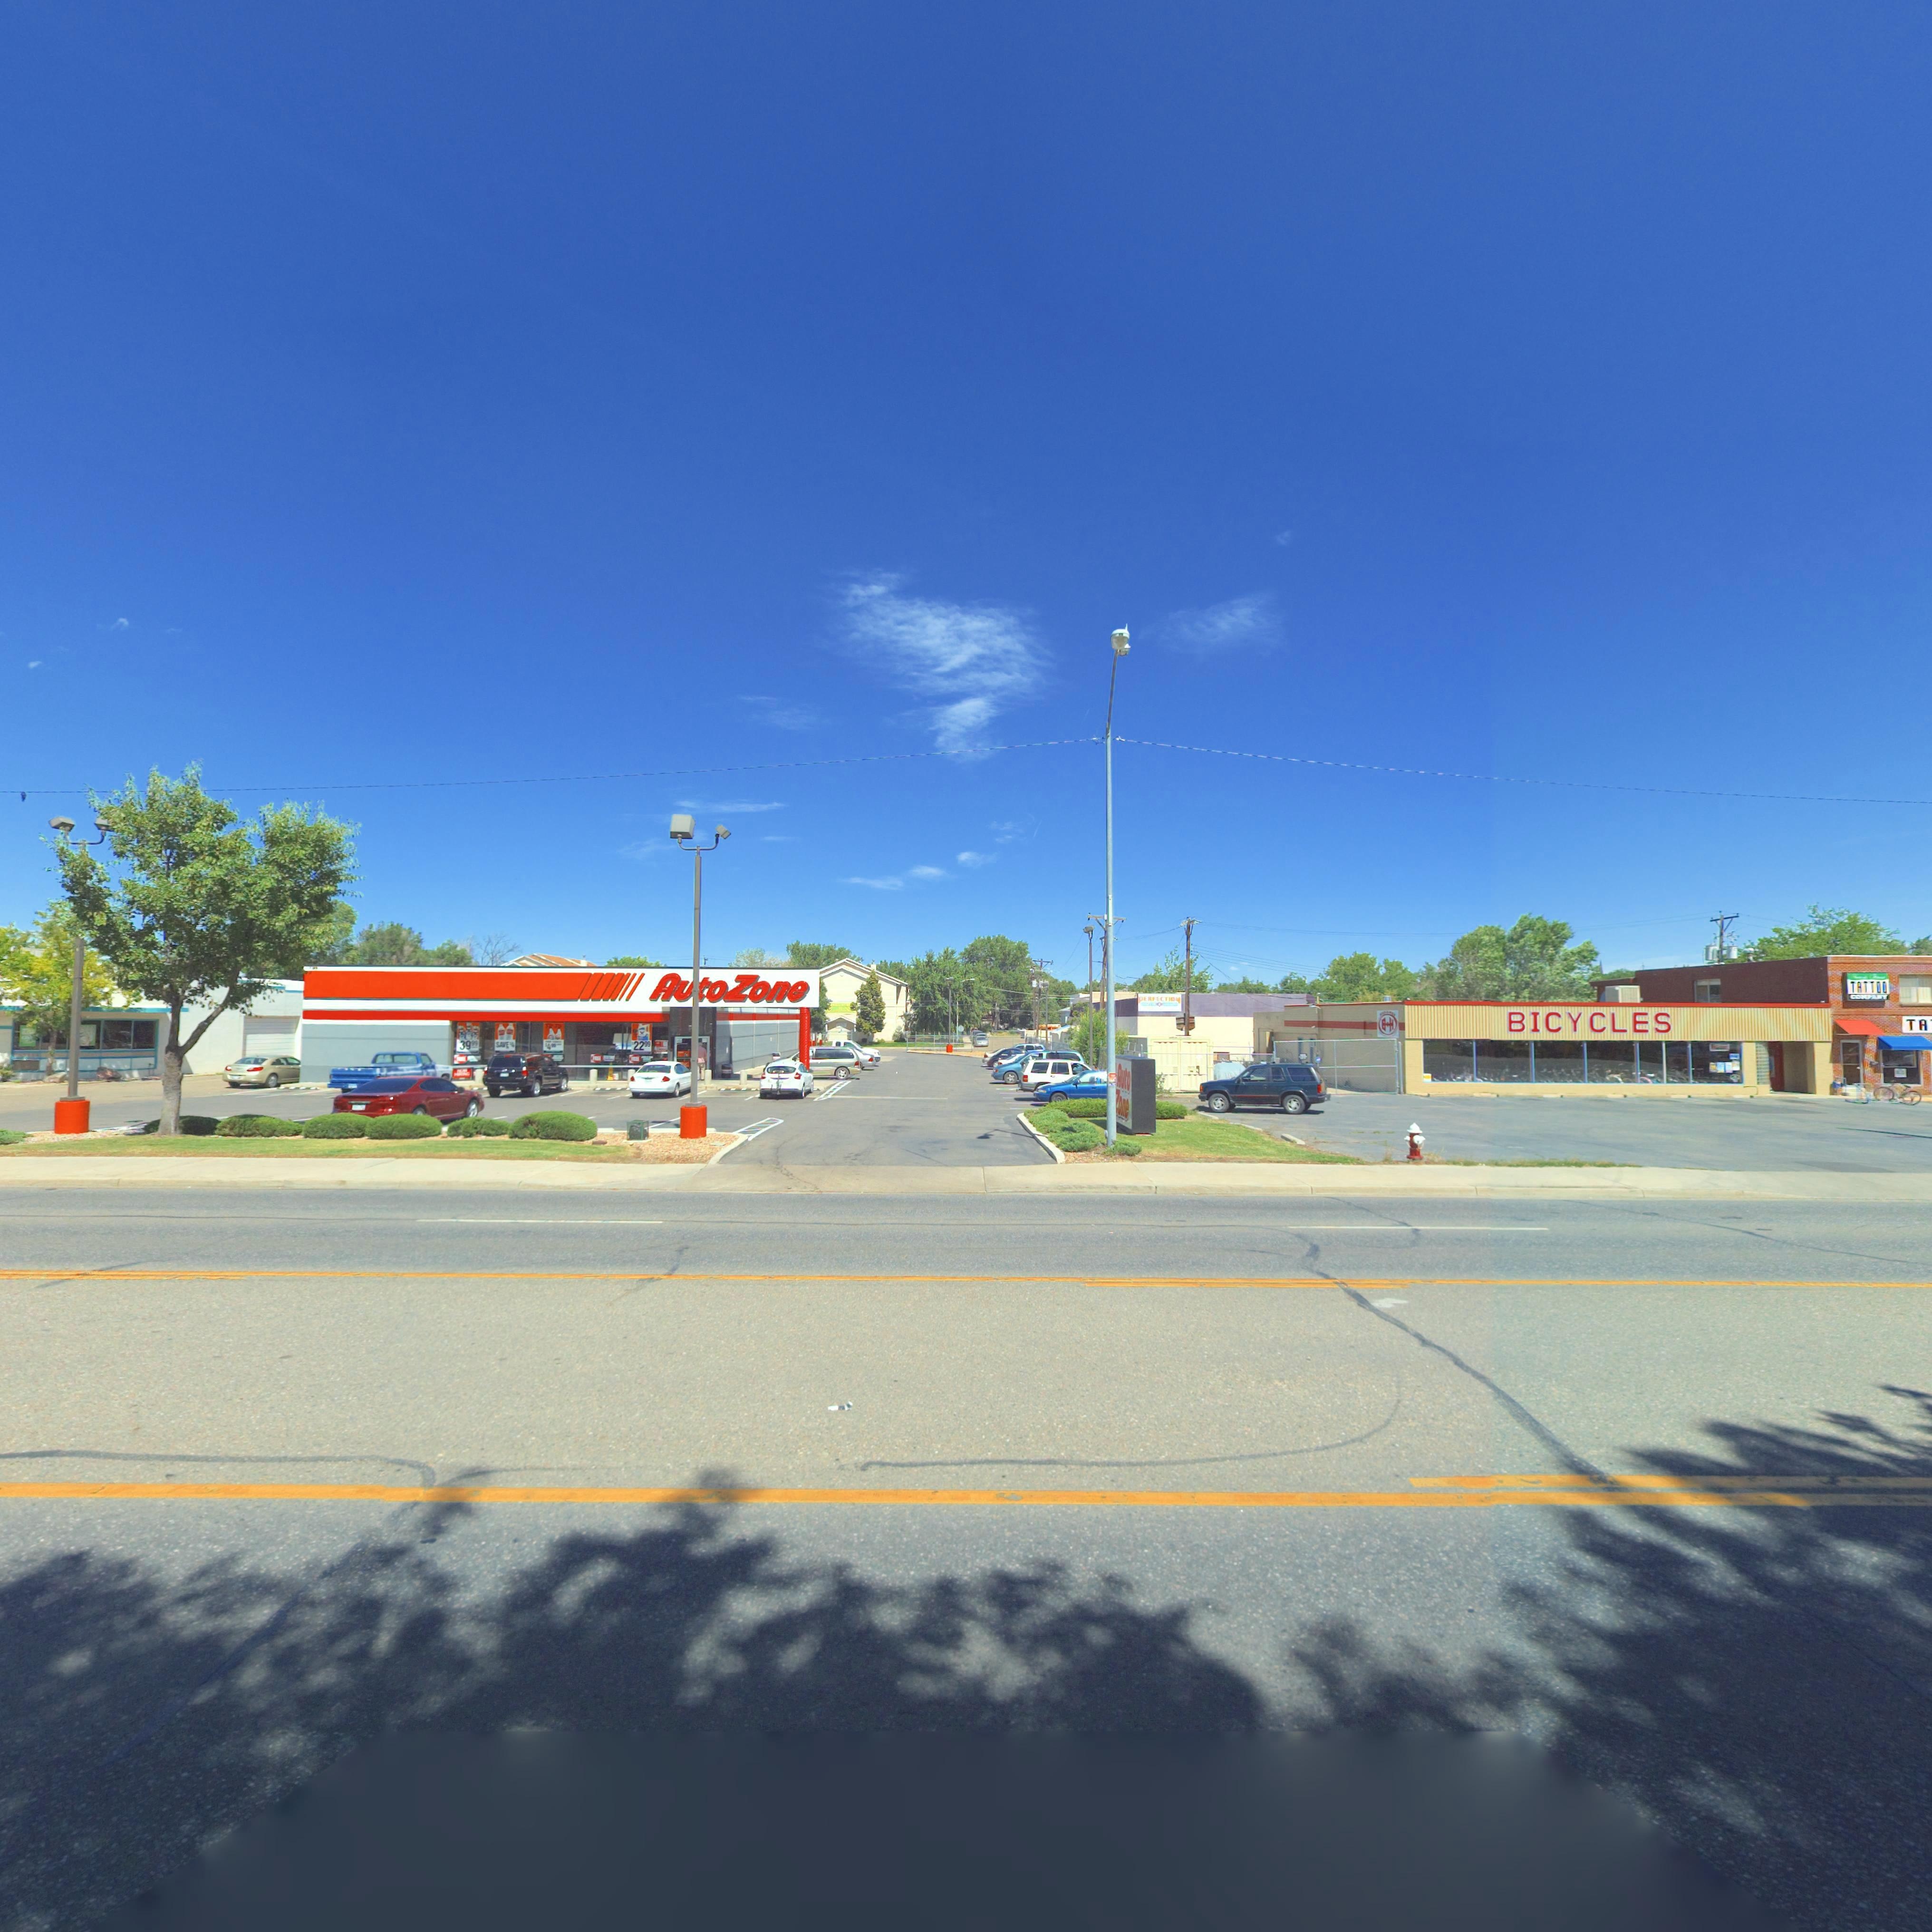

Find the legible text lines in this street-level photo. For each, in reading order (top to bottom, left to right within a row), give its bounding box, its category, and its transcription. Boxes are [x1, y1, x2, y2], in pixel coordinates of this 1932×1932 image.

[647, 971, 811, 1004] BusinessName: Au*oZone
[1850, 980, 1887, 994] BusinessName: TATTOO
[1138, 996, 1180, 1004] BusinessName: PERFECTION
[1849, 994, 1888, 999] BusinessName: CO*****
[1381, 1016, 1395, 1033] BusinessName: B*H
[1905, 1018, 1927, 1031] BusinessName: TA
[1116, 1062, 1130, 1092] BusinessName: Auto
[1115, 1088, 1130, 1120] BusinessName: *one